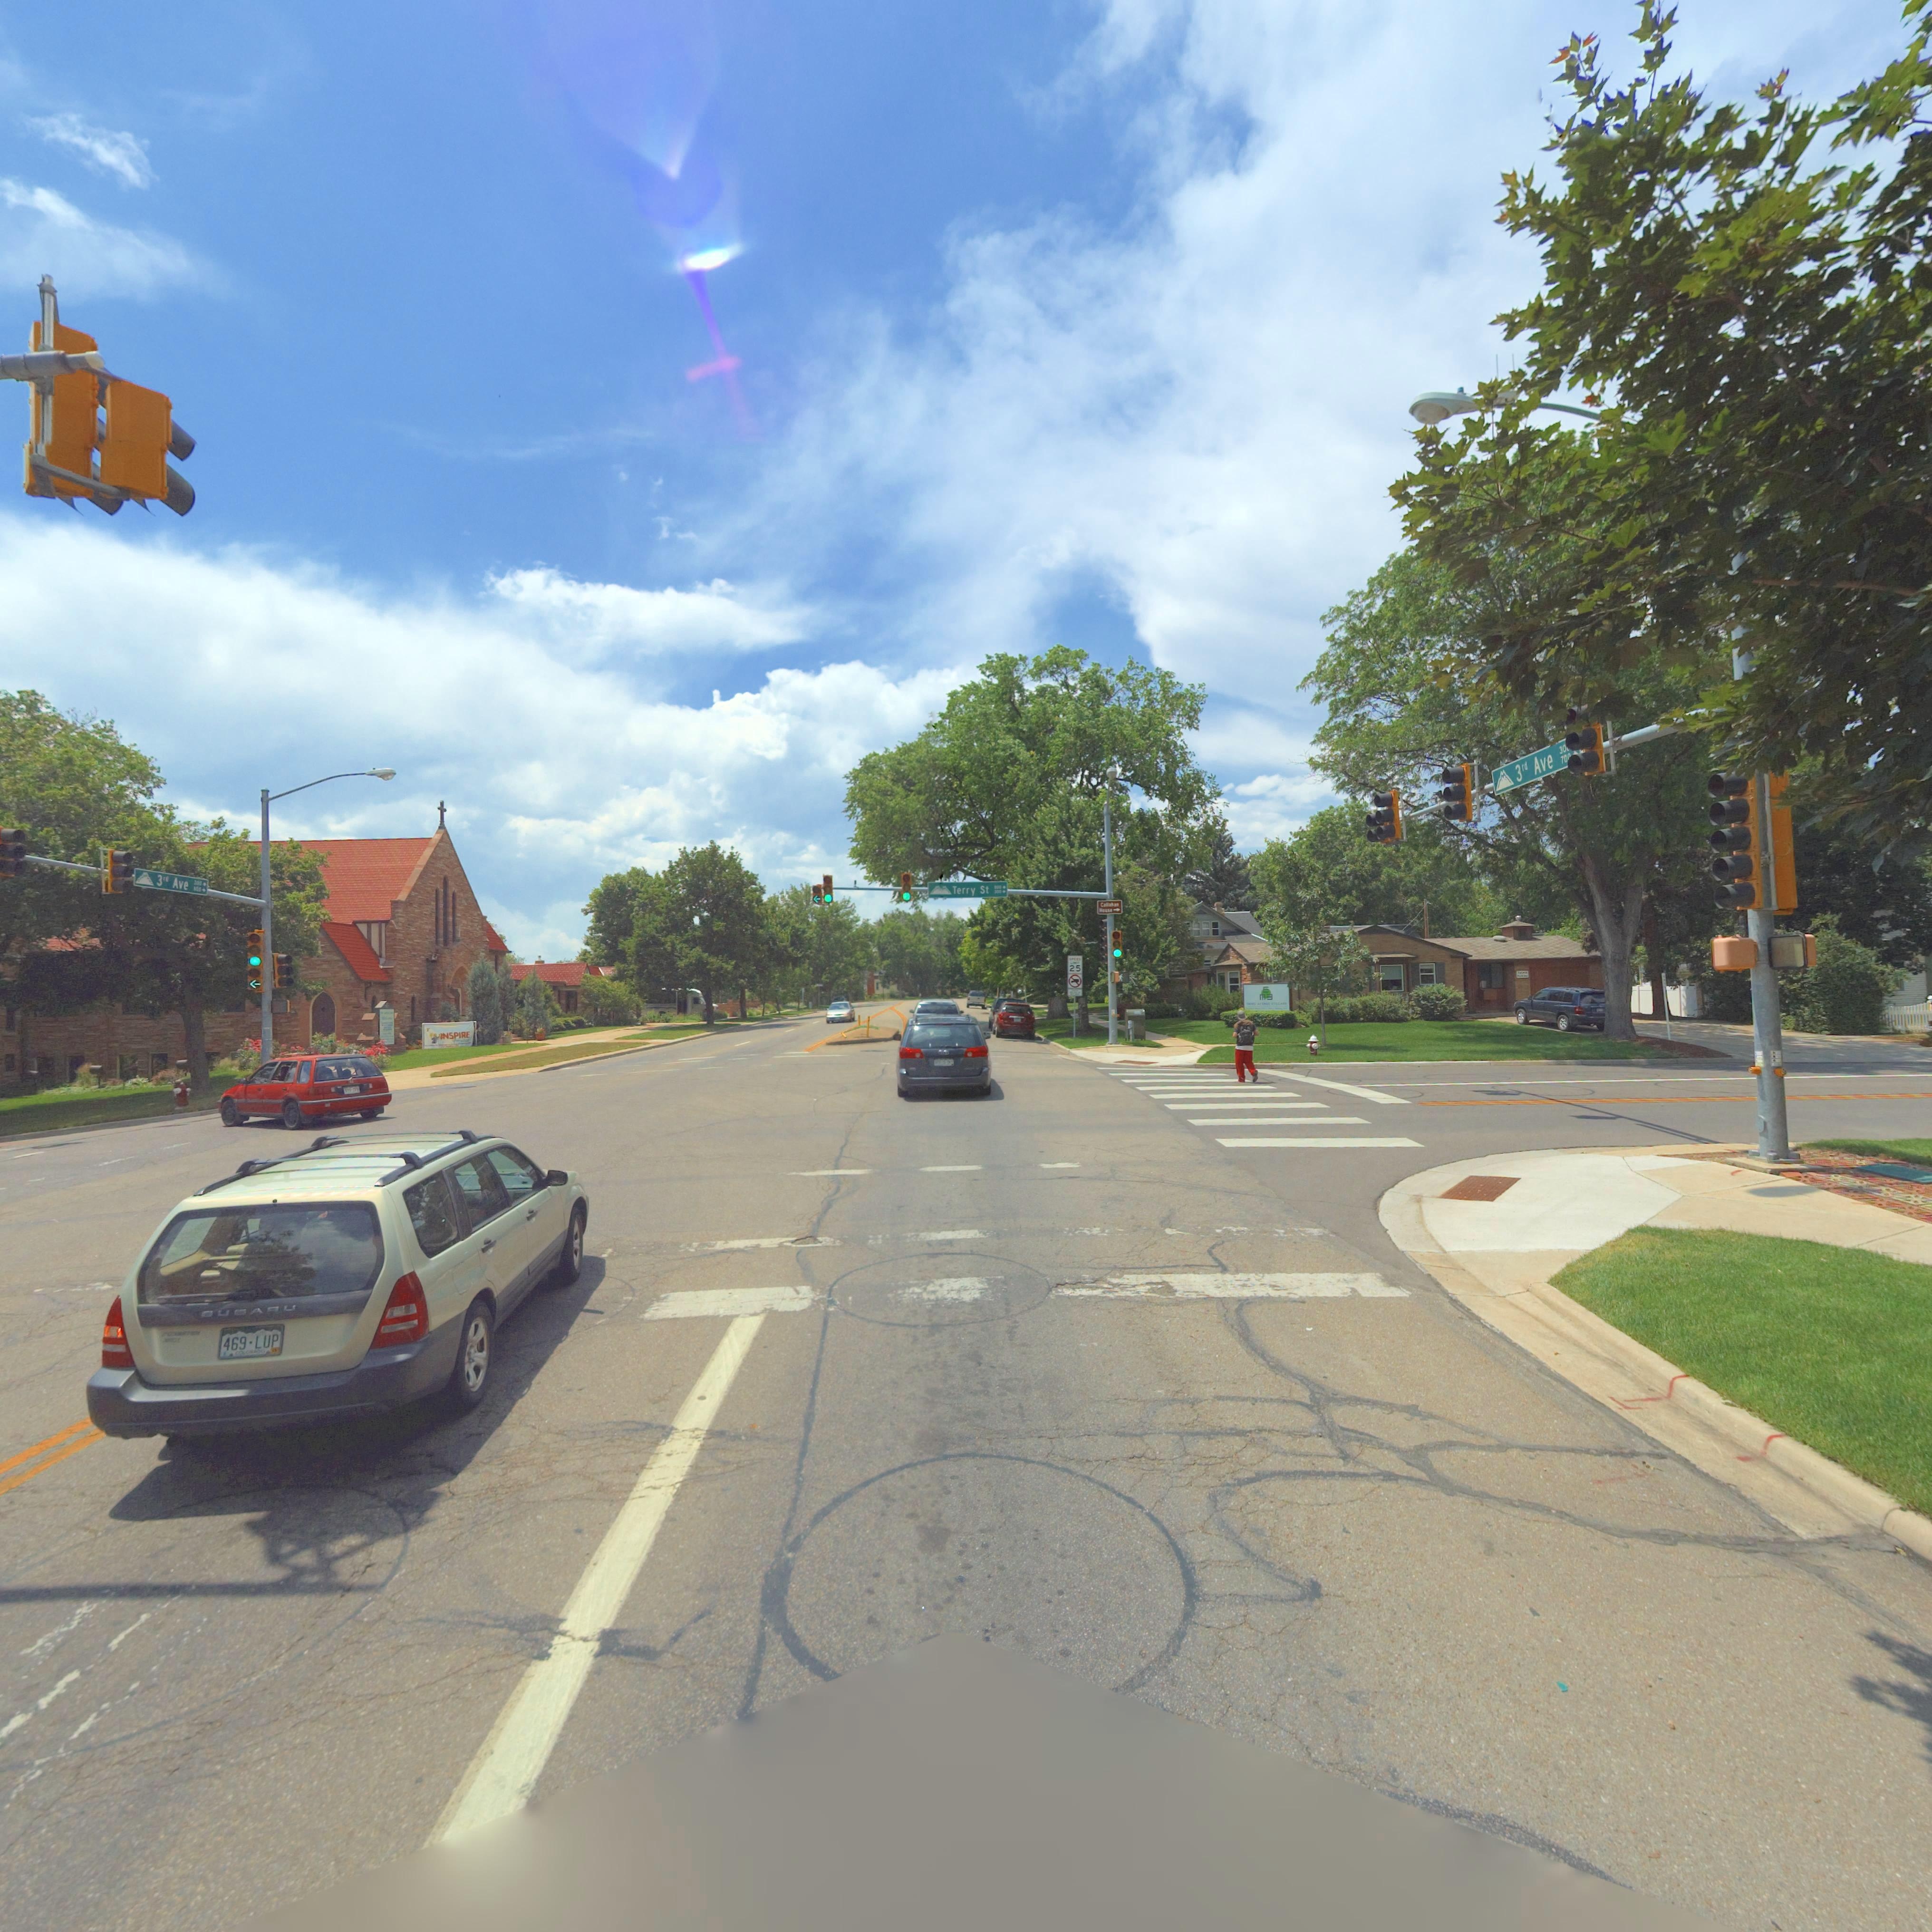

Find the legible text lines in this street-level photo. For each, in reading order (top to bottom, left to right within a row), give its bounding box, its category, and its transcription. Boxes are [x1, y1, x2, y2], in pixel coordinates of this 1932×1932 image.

[1558, 742, 1571, 754] StreetNumberRange: 30*
[1559, 752, 1572, 764] StreetNumberRange: 70*
[1514, 753, 1554, 782] StreetName: 3rd Ave
[156, 874, 189, 890] StreetName: 3rd Ave
[193, 879, 202, 886] StreetNumberRange: **0
[193, 885, 206, 893] StreetNumberRange: **0->
[952, 885, 989, 896] BusinessName: Terry St
[994, 885, 1002, 889] StreetNumberRange: *00
[994, 889, 1006, 894] StreetNumberRange: *00->
[1262, 986, 1269, 993] BusinessName: E
[1259, 993, 1273, 1000] BusinessName: M3